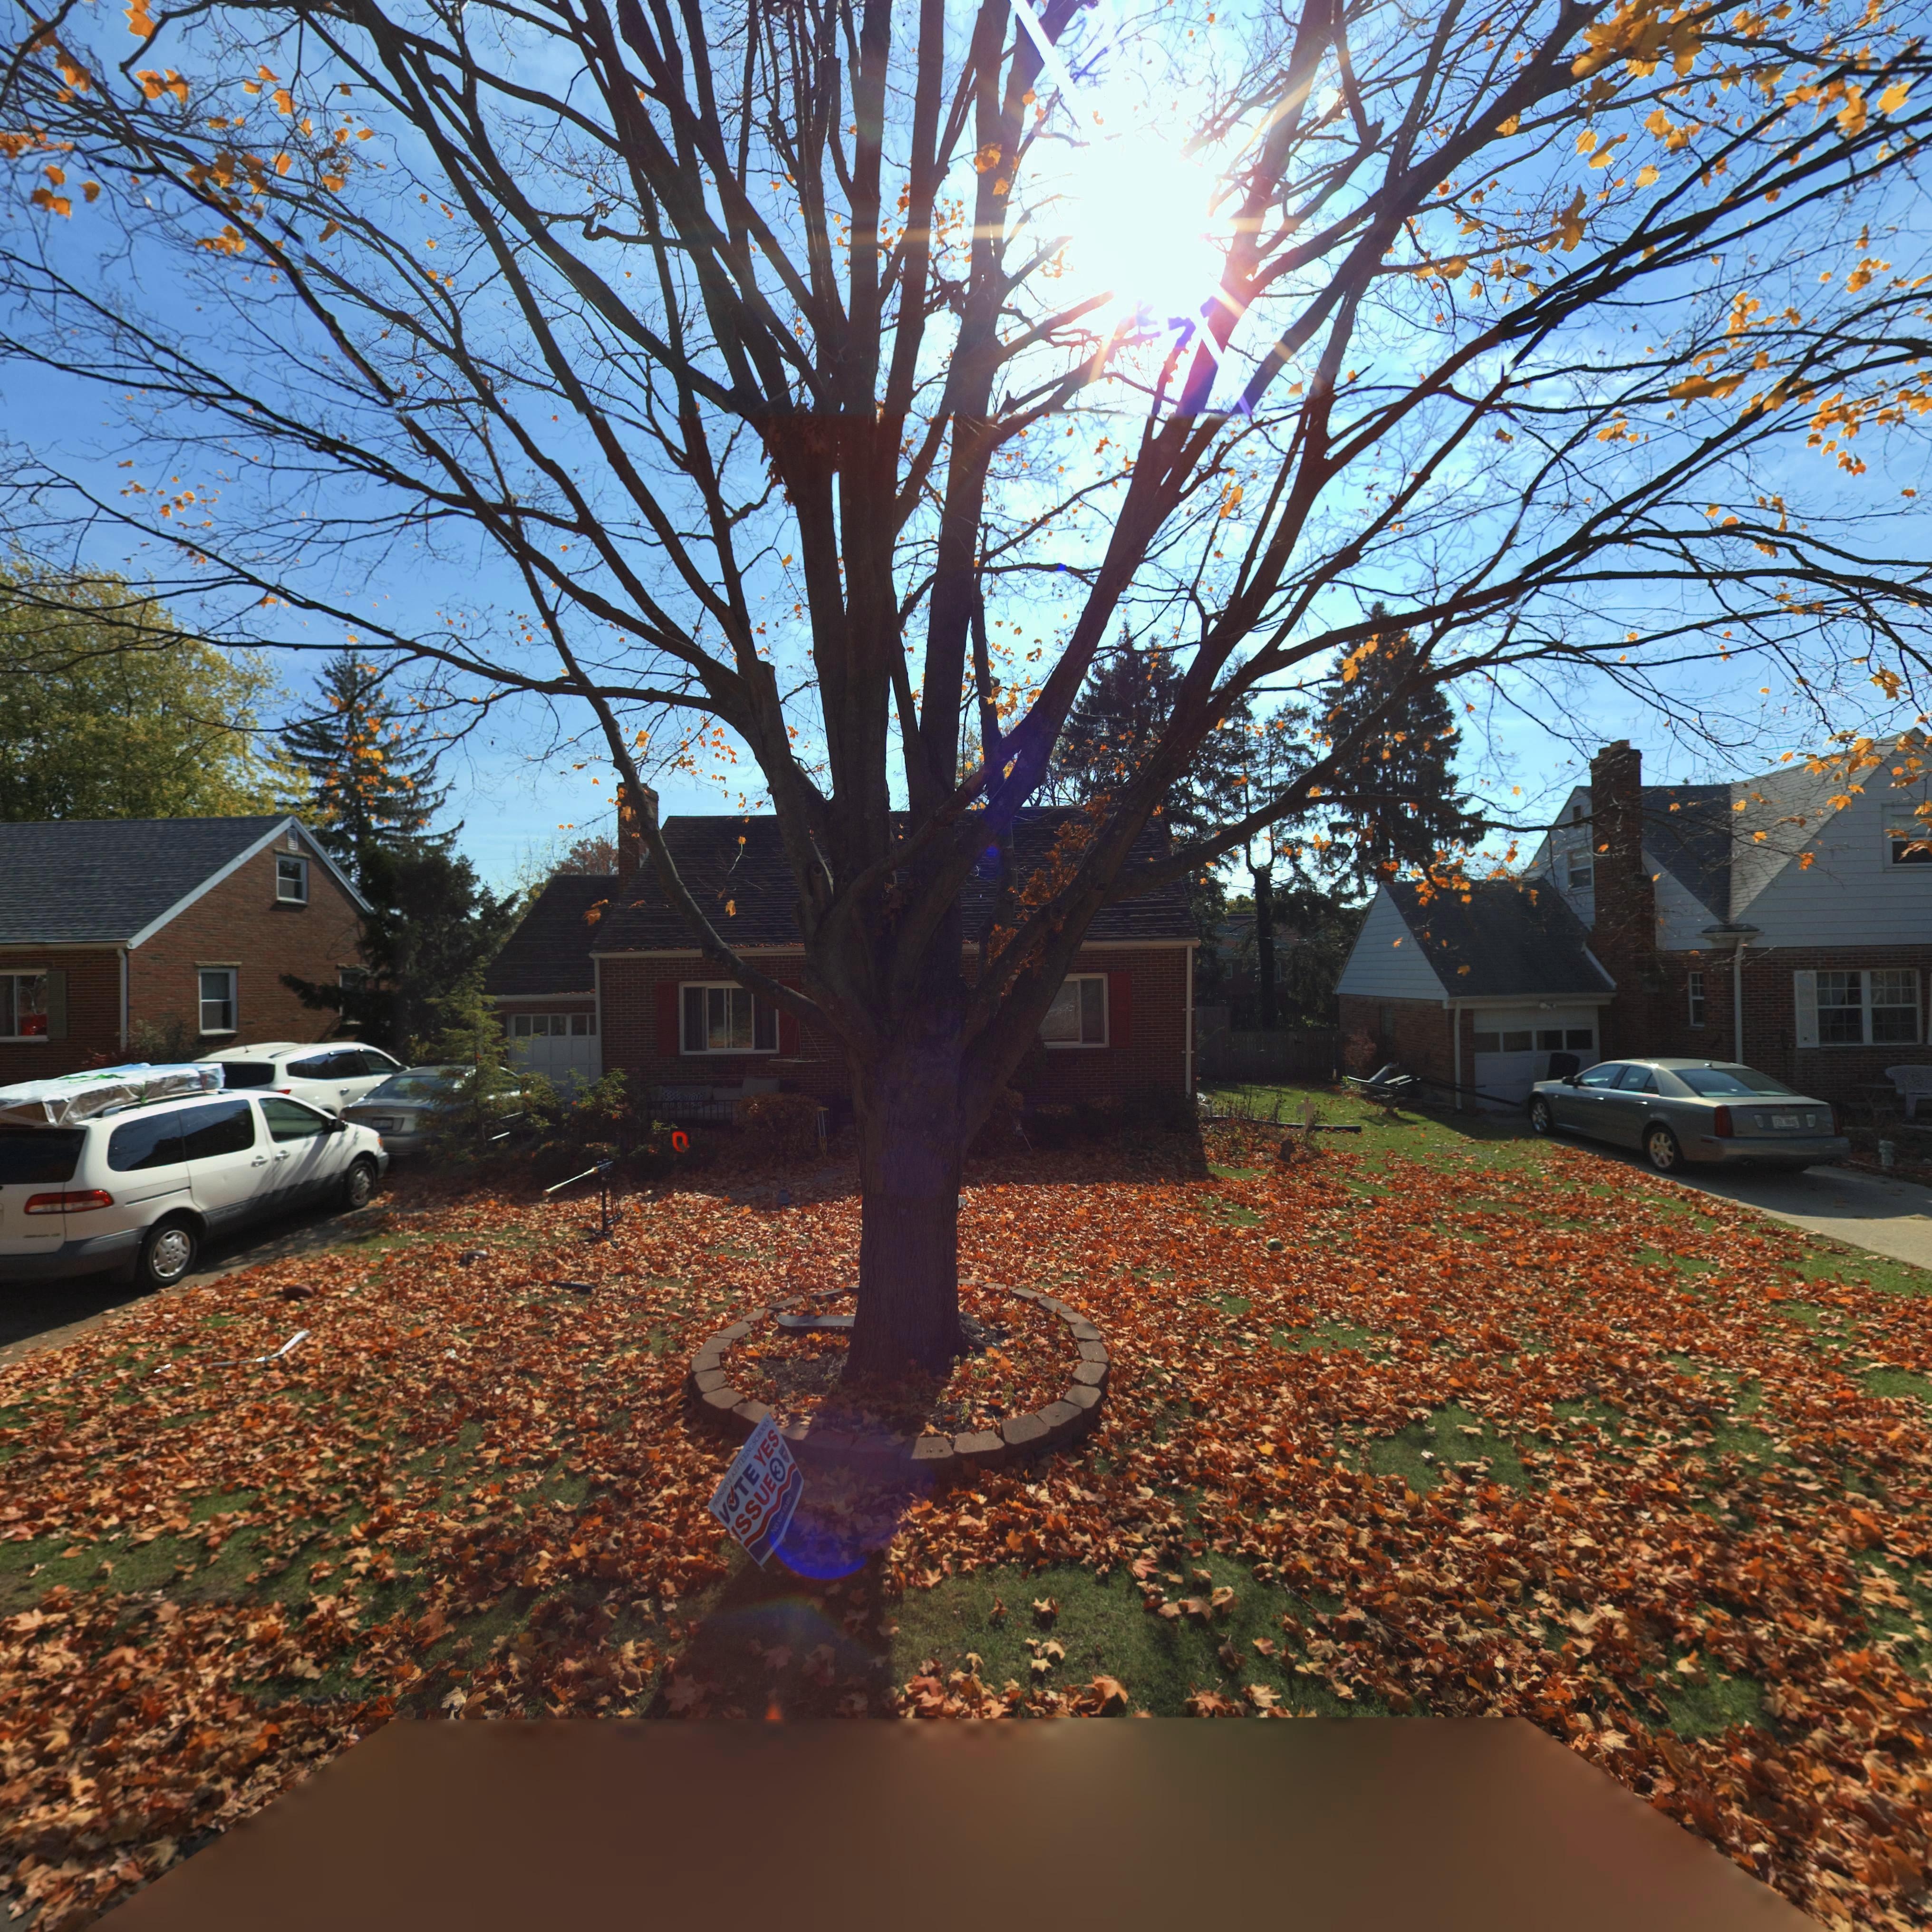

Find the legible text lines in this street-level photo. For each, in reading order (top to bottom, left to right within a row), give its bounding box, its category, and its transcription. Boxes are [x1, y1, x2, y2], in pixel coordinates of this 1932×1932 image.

[710, 1417, 771, 1510] None: PRESERVE KETTERING SCHOOLS
[716, 1427, 781, 1526] None: V*TE YES
[730, 1459, 785, 1543] None: ISSUE 3
[770, 1521, 781, 1536] None: NO